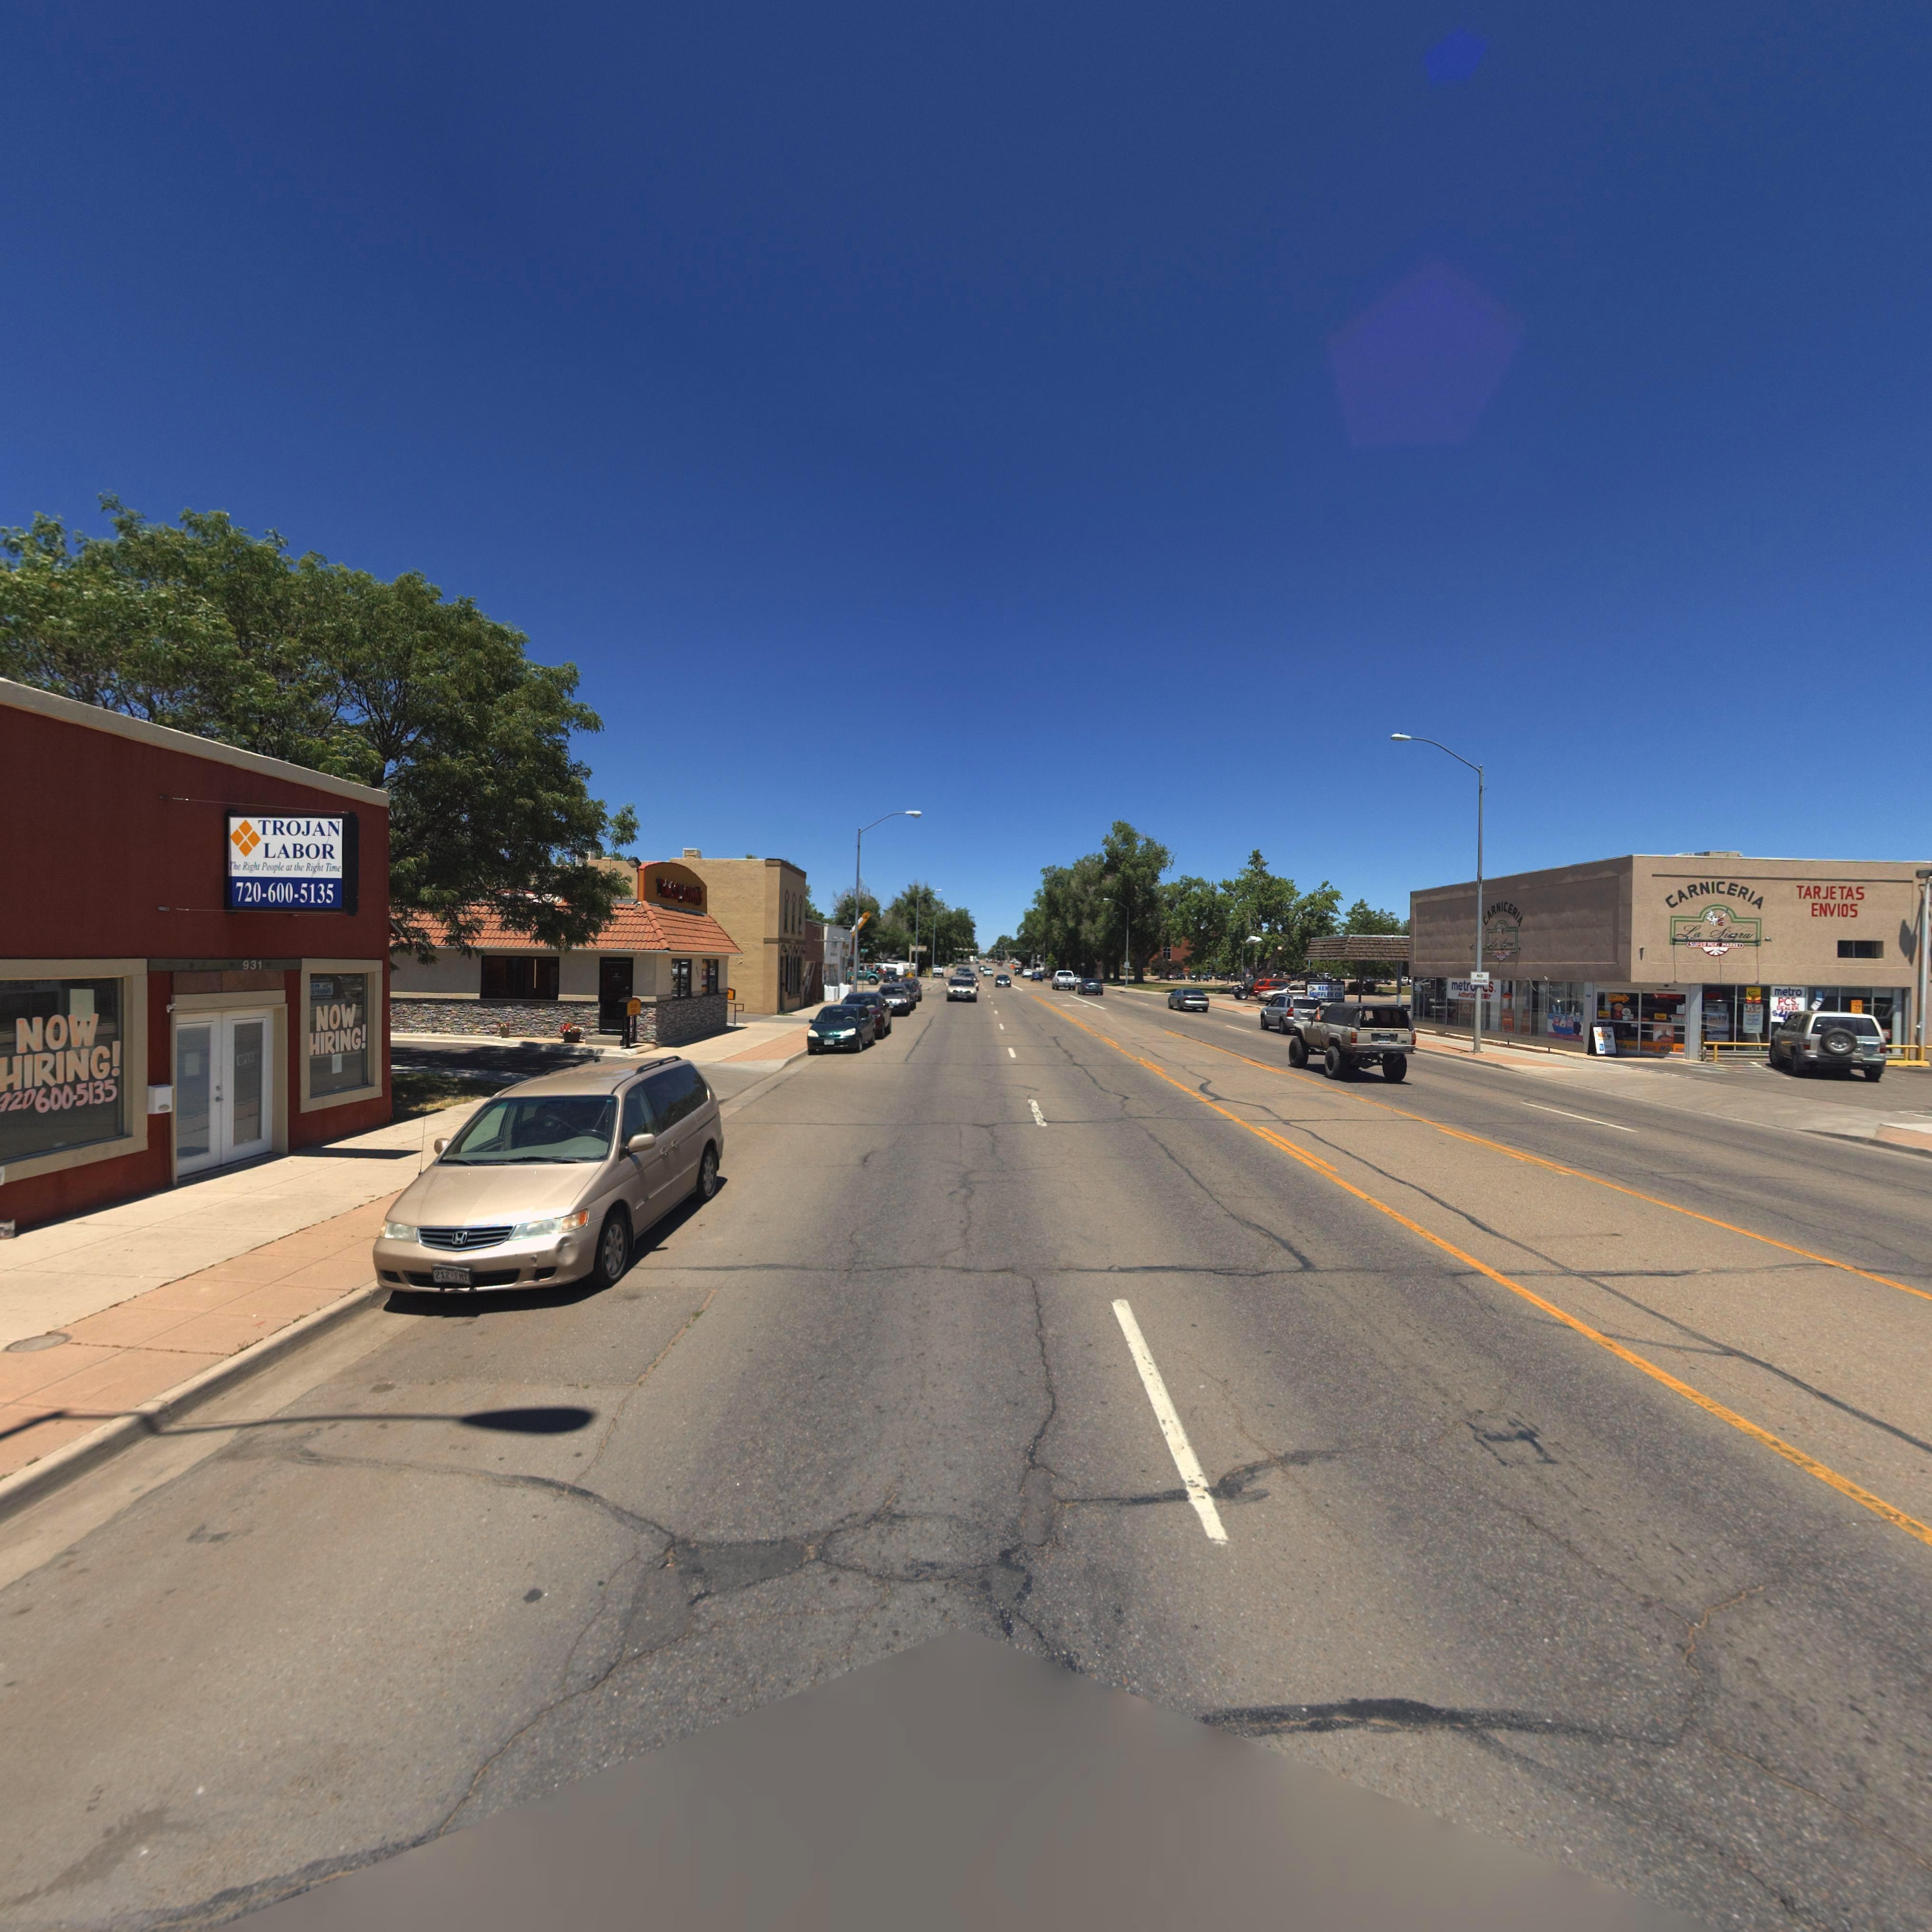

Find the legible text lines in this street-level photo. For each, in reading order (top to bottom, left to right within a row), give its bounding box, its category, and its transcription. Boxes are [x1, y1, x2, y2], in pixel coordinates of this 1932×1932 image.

[257, 819, 341, 837] BusinessName: TROJAN
[262, 841, 336, 860] BusinessName: LABOR
[657, 877, 704, 906] BusinessName: TACO JOHN'S
[1675, 923, 1755, 939] BusinessName: La Sierra
[1486, 937, 1514, 950] BusinessName: L* S*****
[242, 959, 262, 970] StreetNumber: 931
[1309, 992, 1342, 997] BusinessName: *UFFLER CO
[1318, 985, 1333, 991] BusinessName: KEN'S